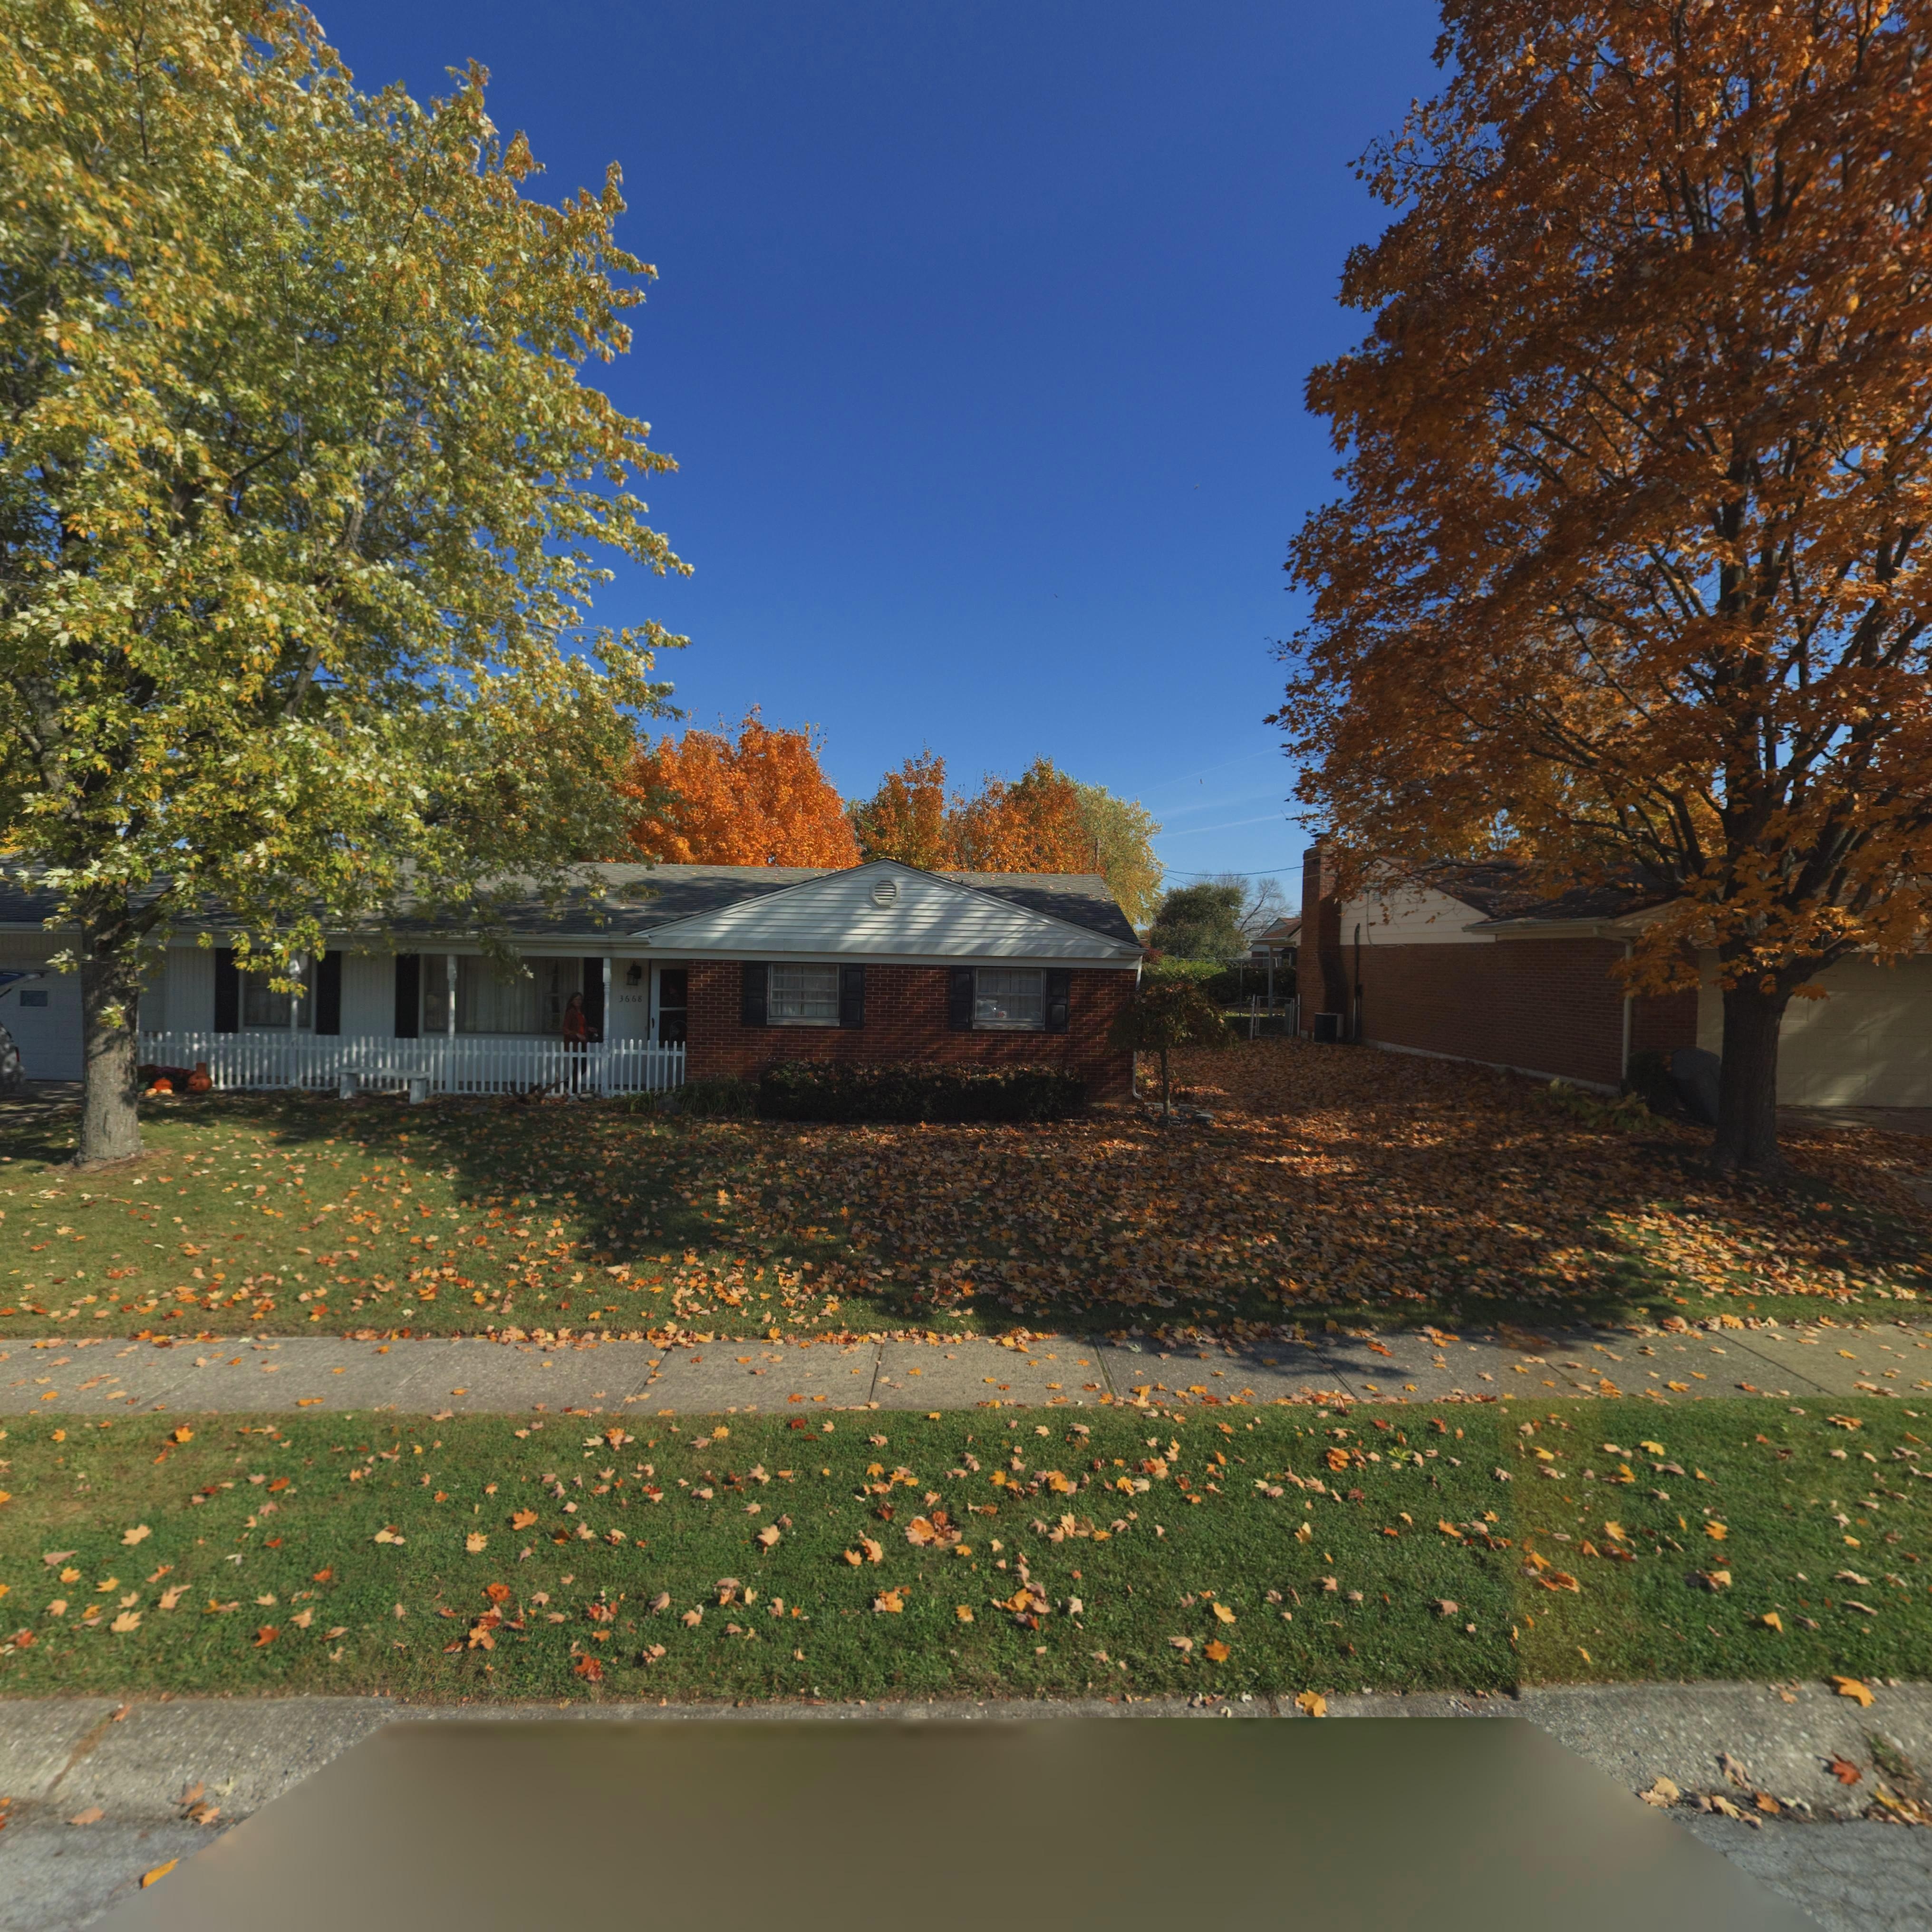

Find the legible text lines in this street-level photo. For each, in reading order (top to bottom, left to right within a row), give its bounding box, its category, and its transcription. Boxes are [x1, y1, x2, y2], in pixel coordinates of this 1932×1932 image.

[618, 995, 643, 1003] StreetNumber: 3668